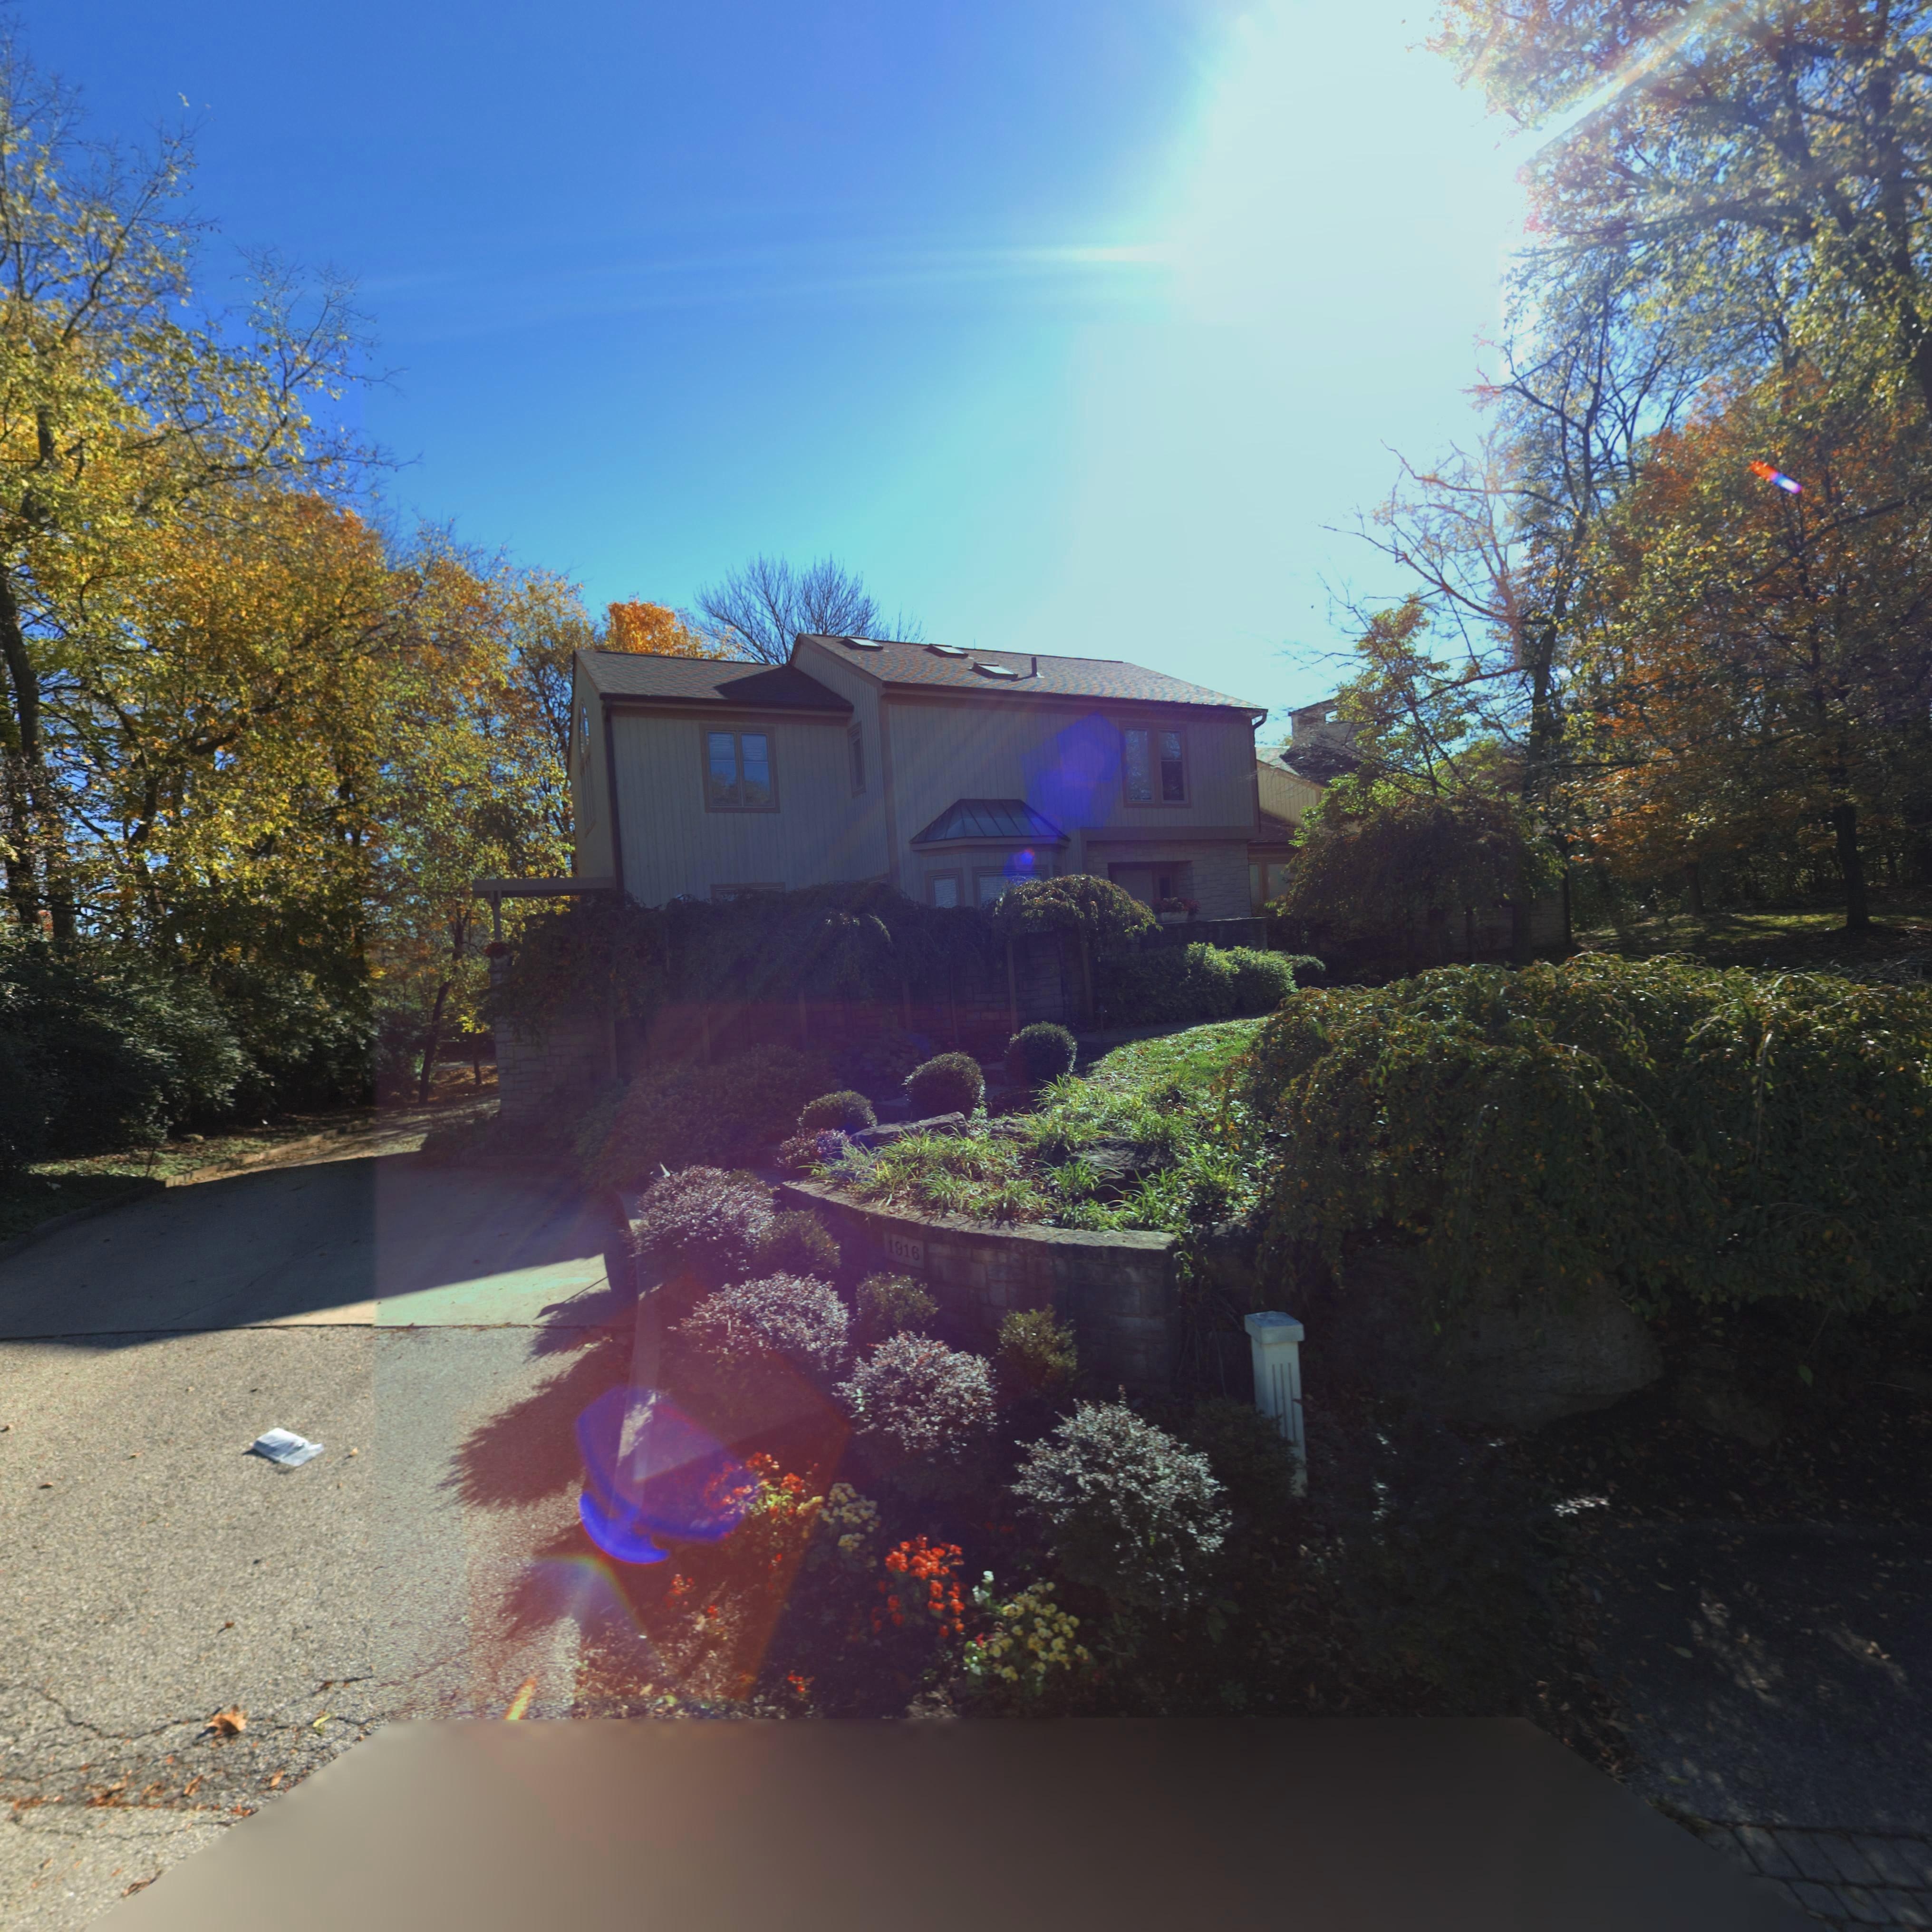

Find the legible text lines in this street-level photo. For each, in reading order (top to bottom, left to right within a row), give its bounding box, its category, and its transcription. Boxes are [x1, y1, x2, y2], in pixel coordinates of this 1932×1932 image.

[888, 1237, 920, 1263] StreetNumber: 1916